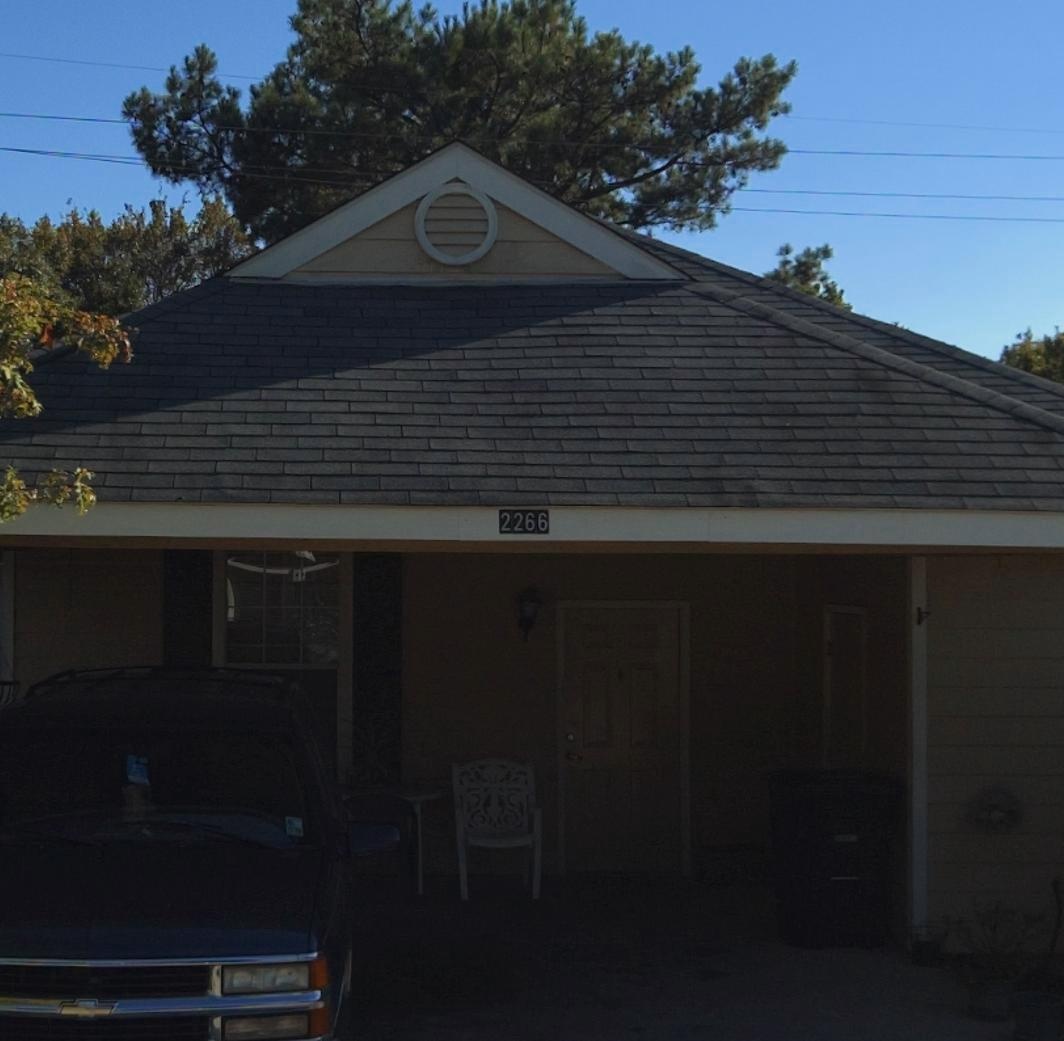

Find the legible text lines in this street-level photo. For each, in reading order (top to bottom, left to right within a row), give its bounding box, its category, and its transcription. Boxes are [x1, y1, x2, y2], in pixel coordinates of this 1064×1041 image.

[499, 510, 549, 532] StreetNumber: 2266